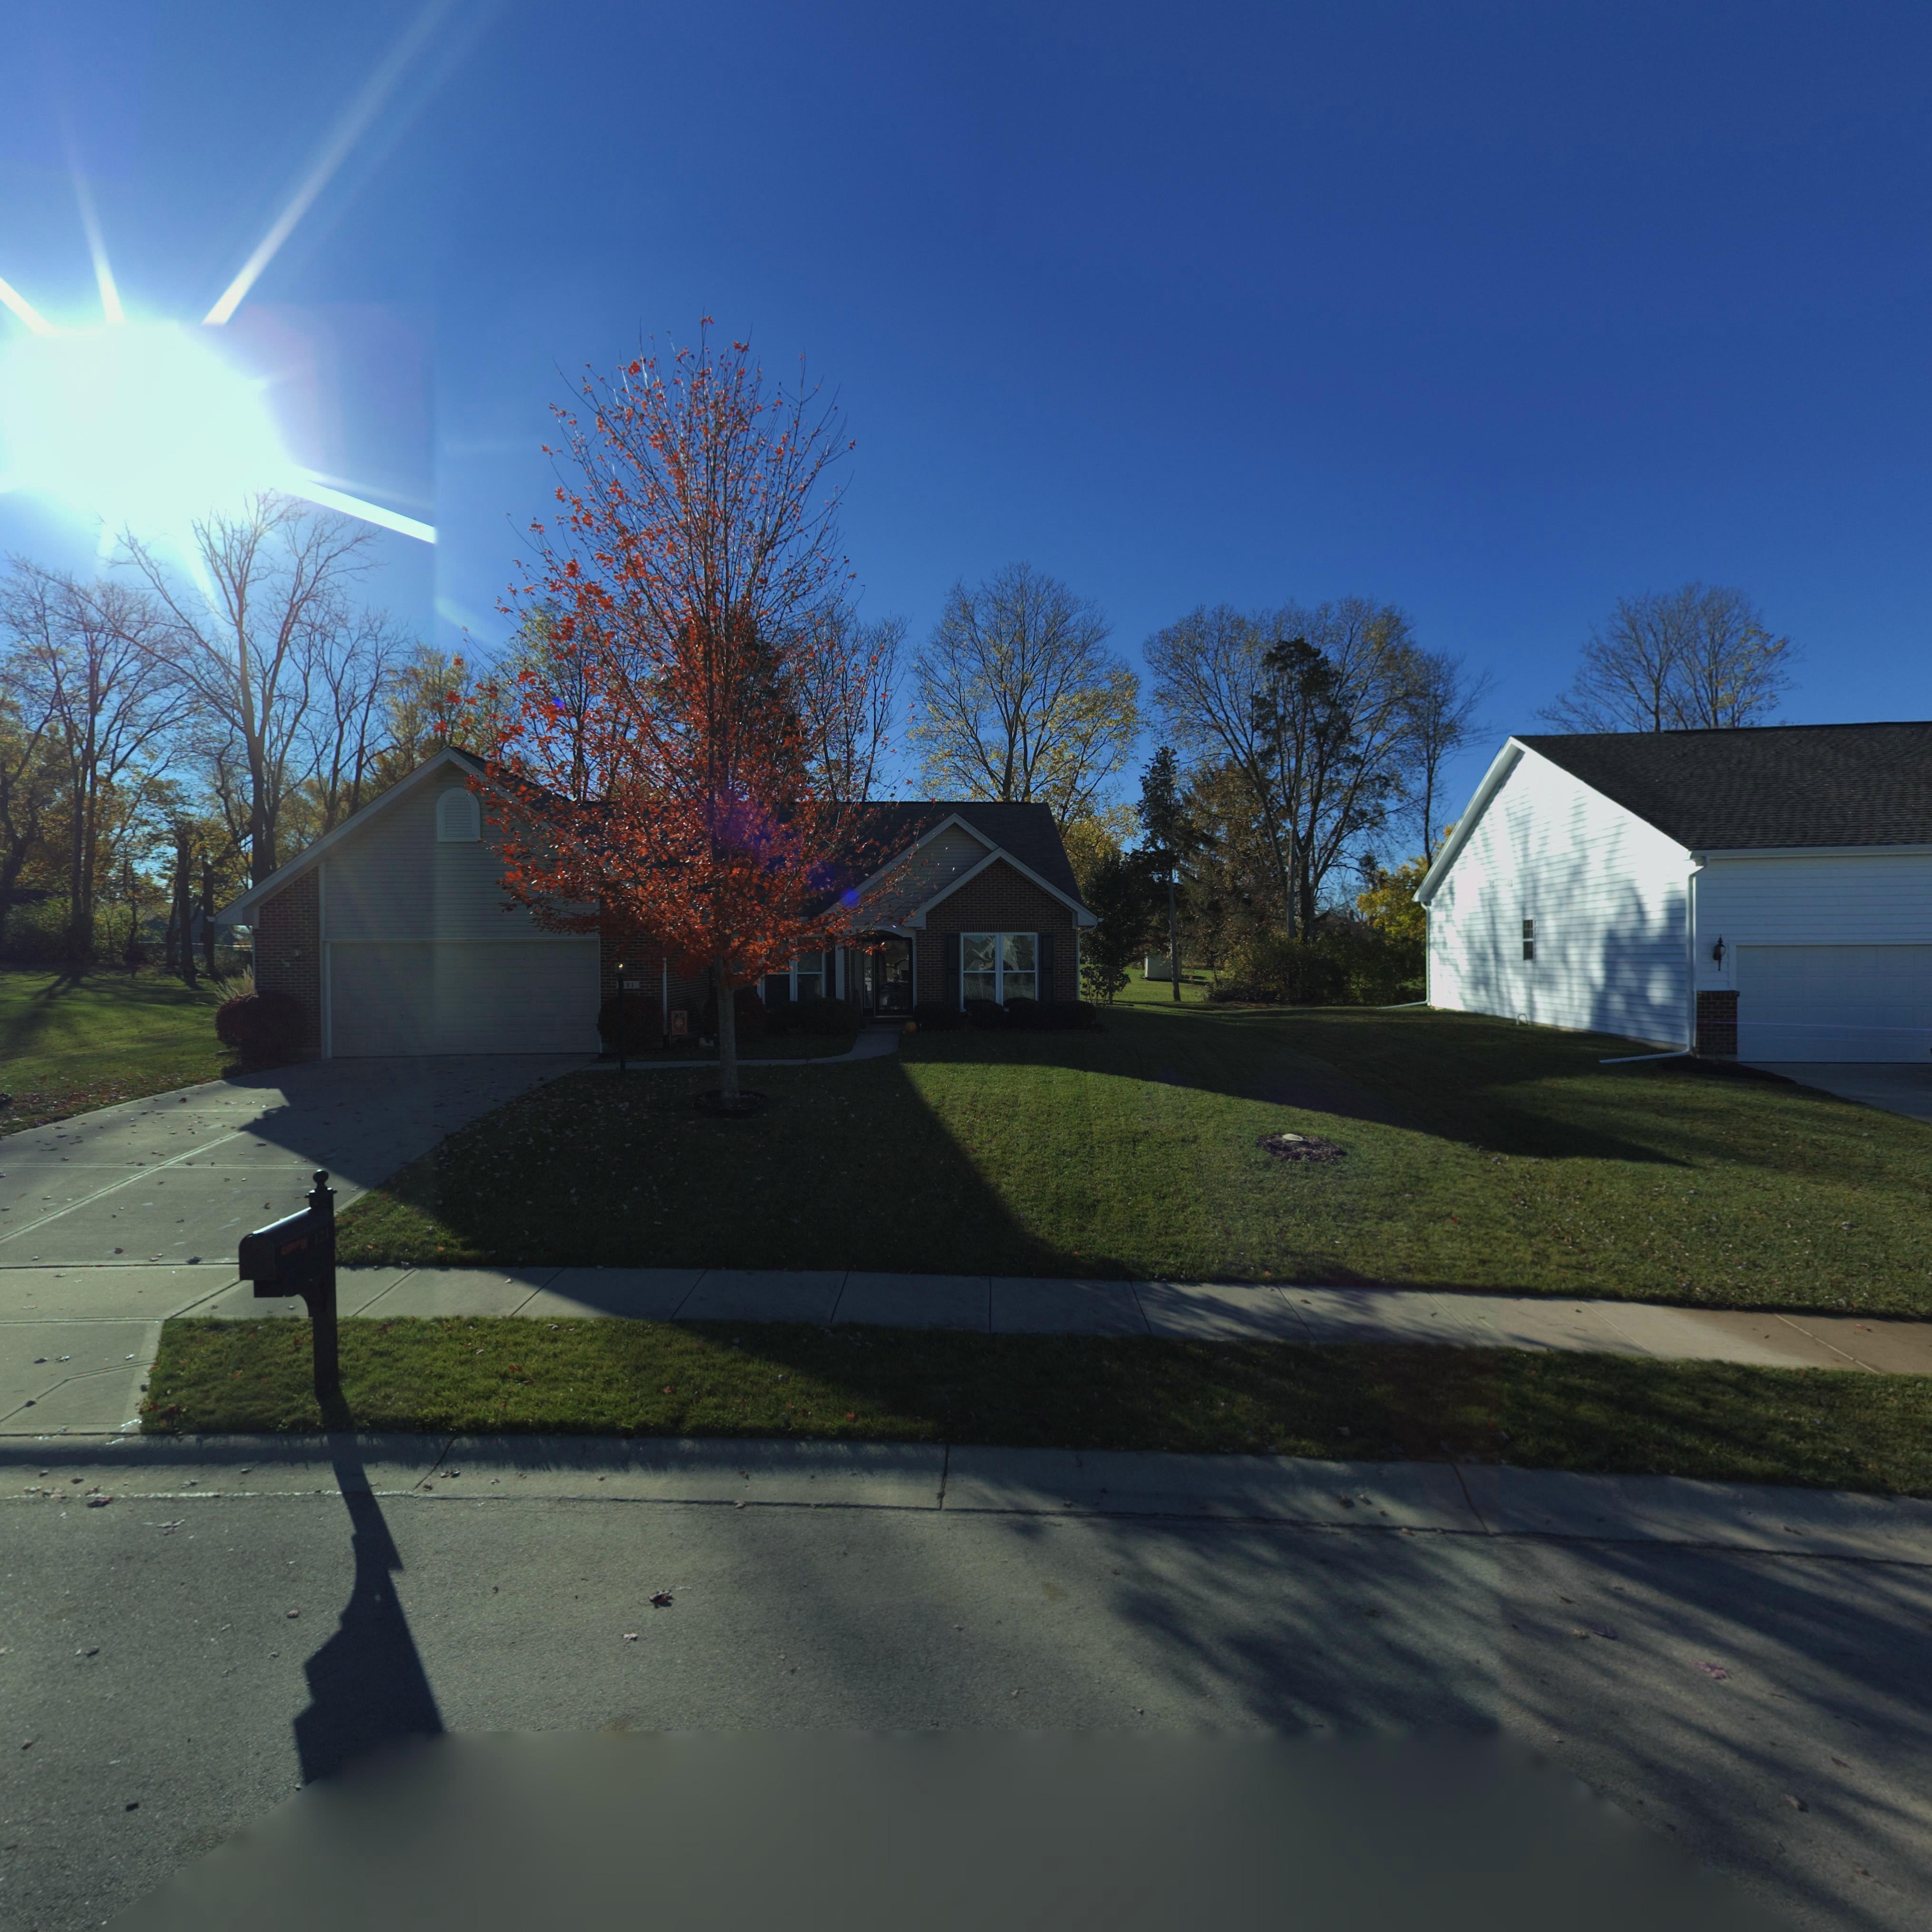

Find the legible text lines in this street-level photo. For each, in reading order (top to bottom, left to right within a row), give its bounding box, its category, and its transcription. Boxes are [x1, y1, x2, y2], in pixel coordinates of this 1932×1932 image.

[625, 982, 634, 988] StreetNumber: 21
[314, 1227, 329, 1245] StreetNumber: 121